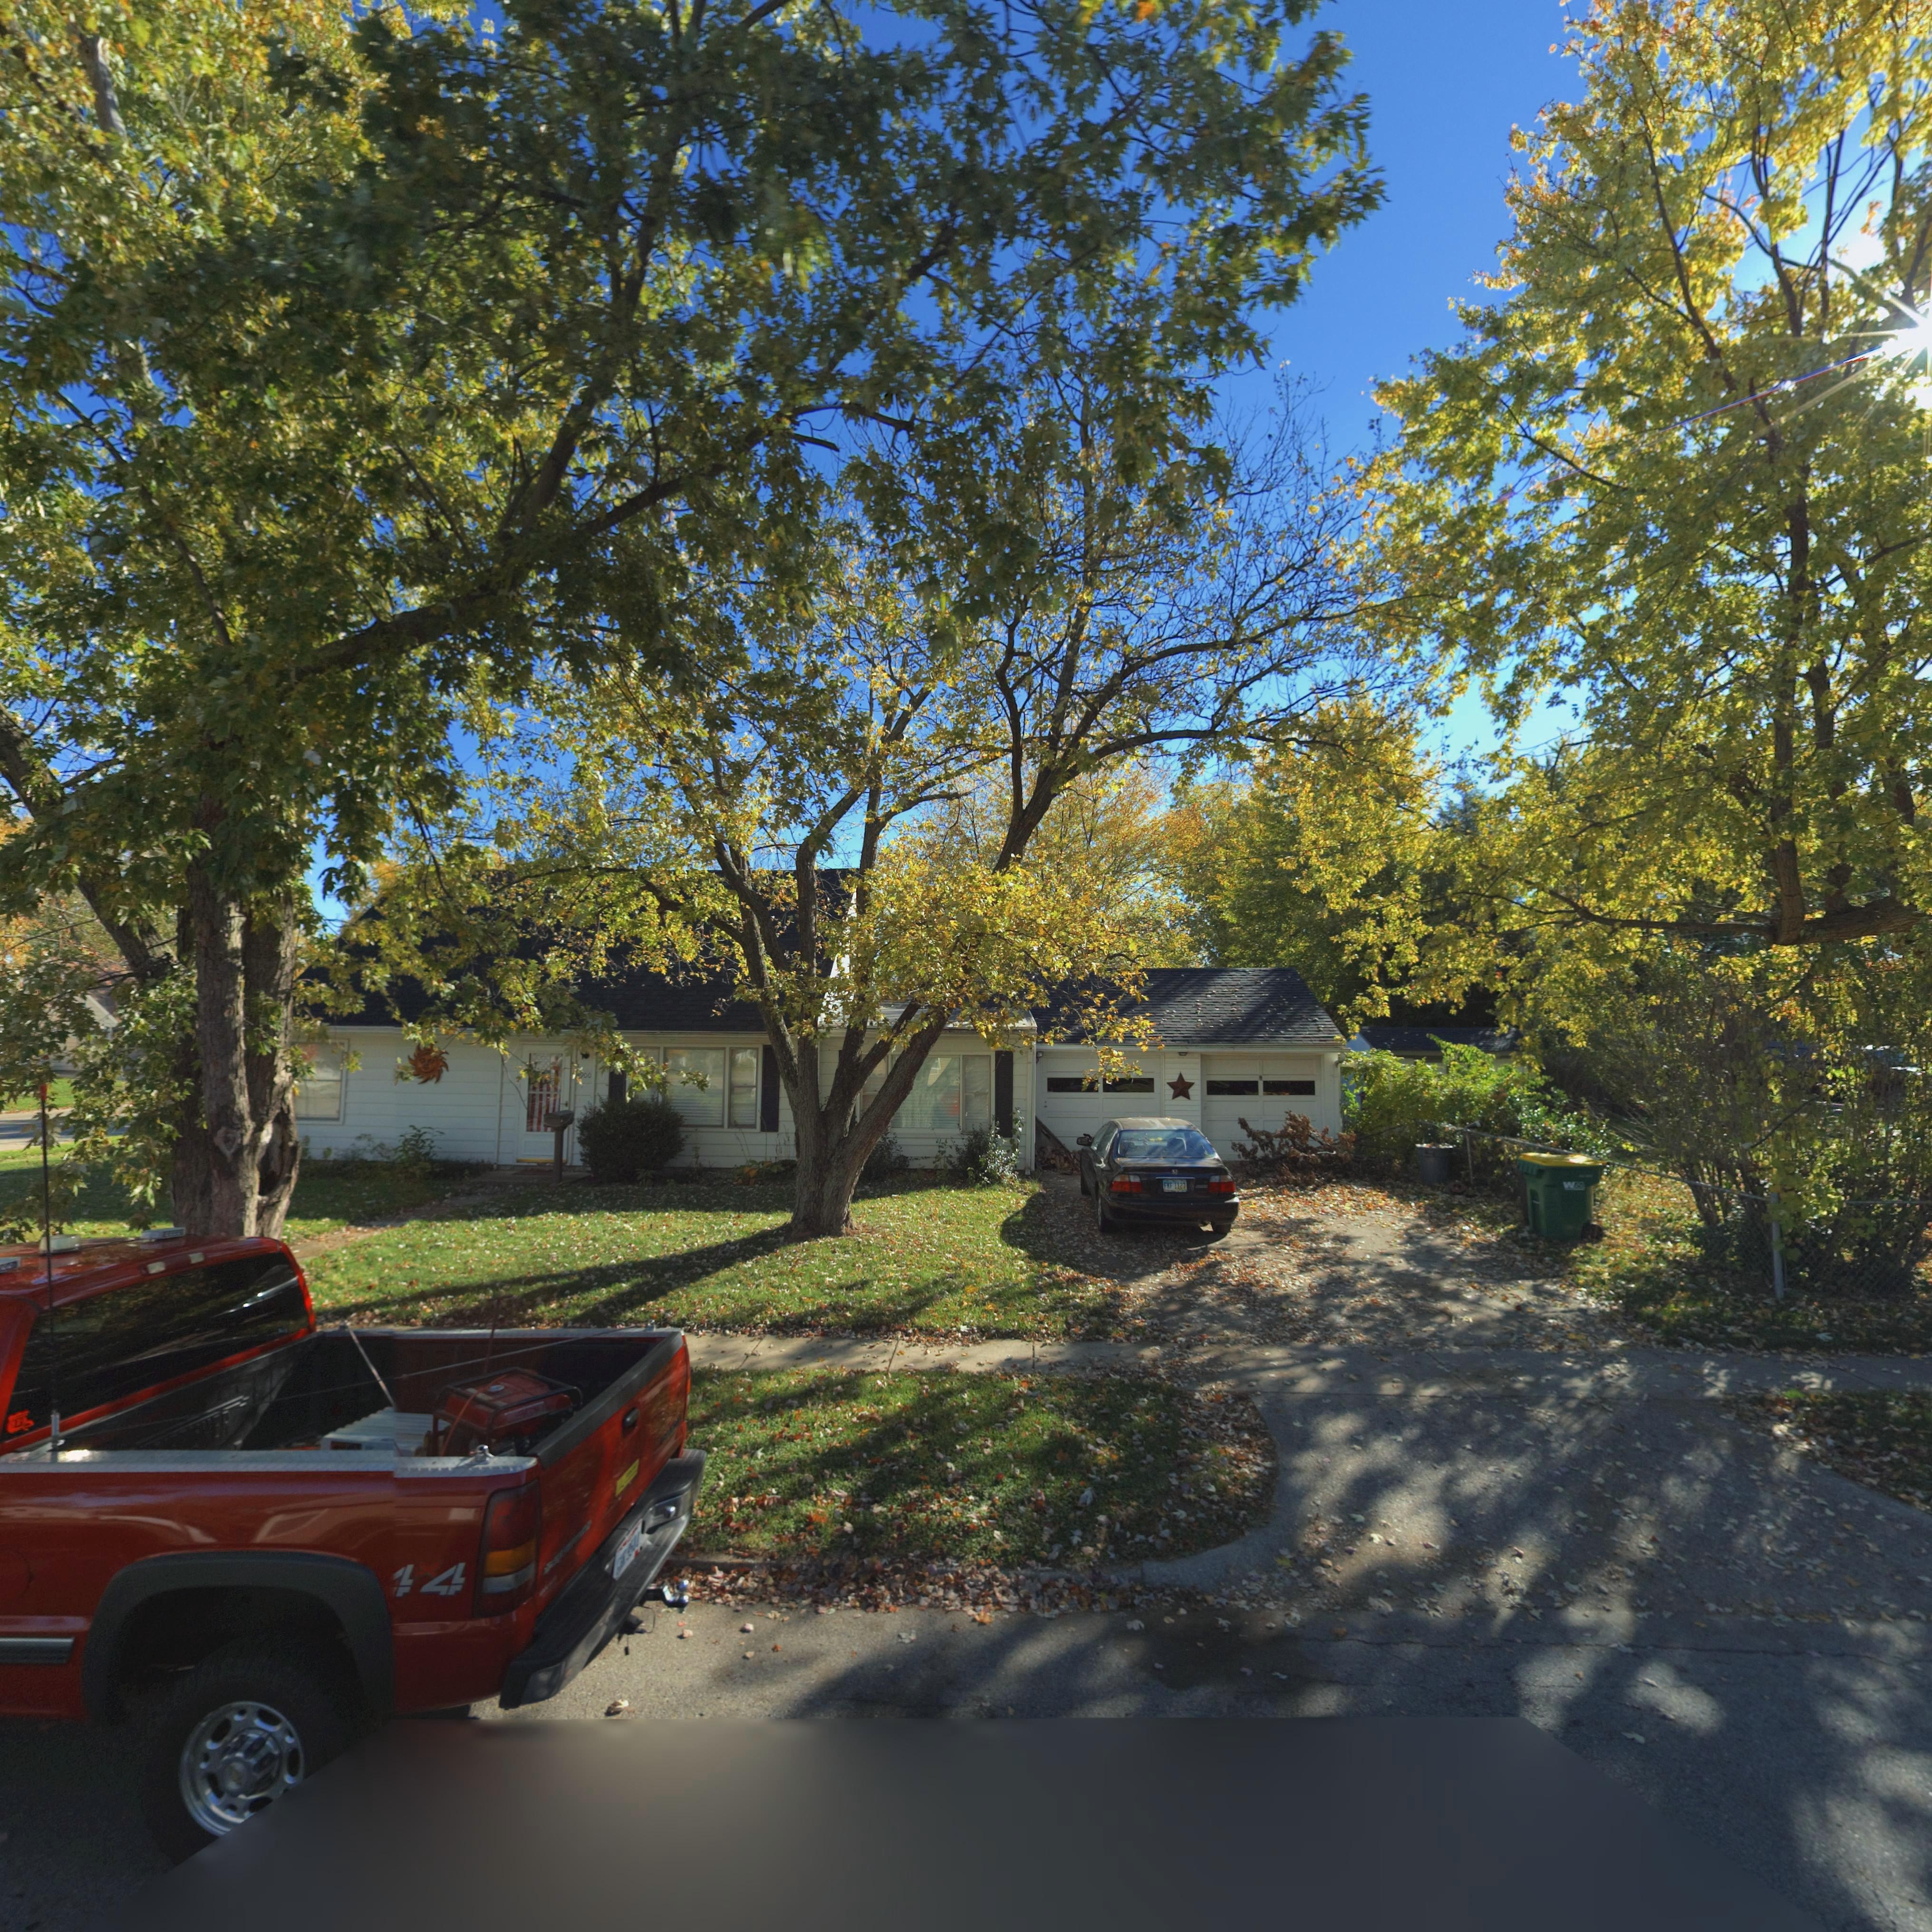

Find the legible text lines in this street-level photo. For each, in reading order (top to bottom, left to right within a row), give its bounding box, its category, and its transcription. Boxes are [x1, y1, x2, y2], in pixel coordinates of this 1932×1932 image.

[579, 1071, 593, 1080] StreetNumber: 900